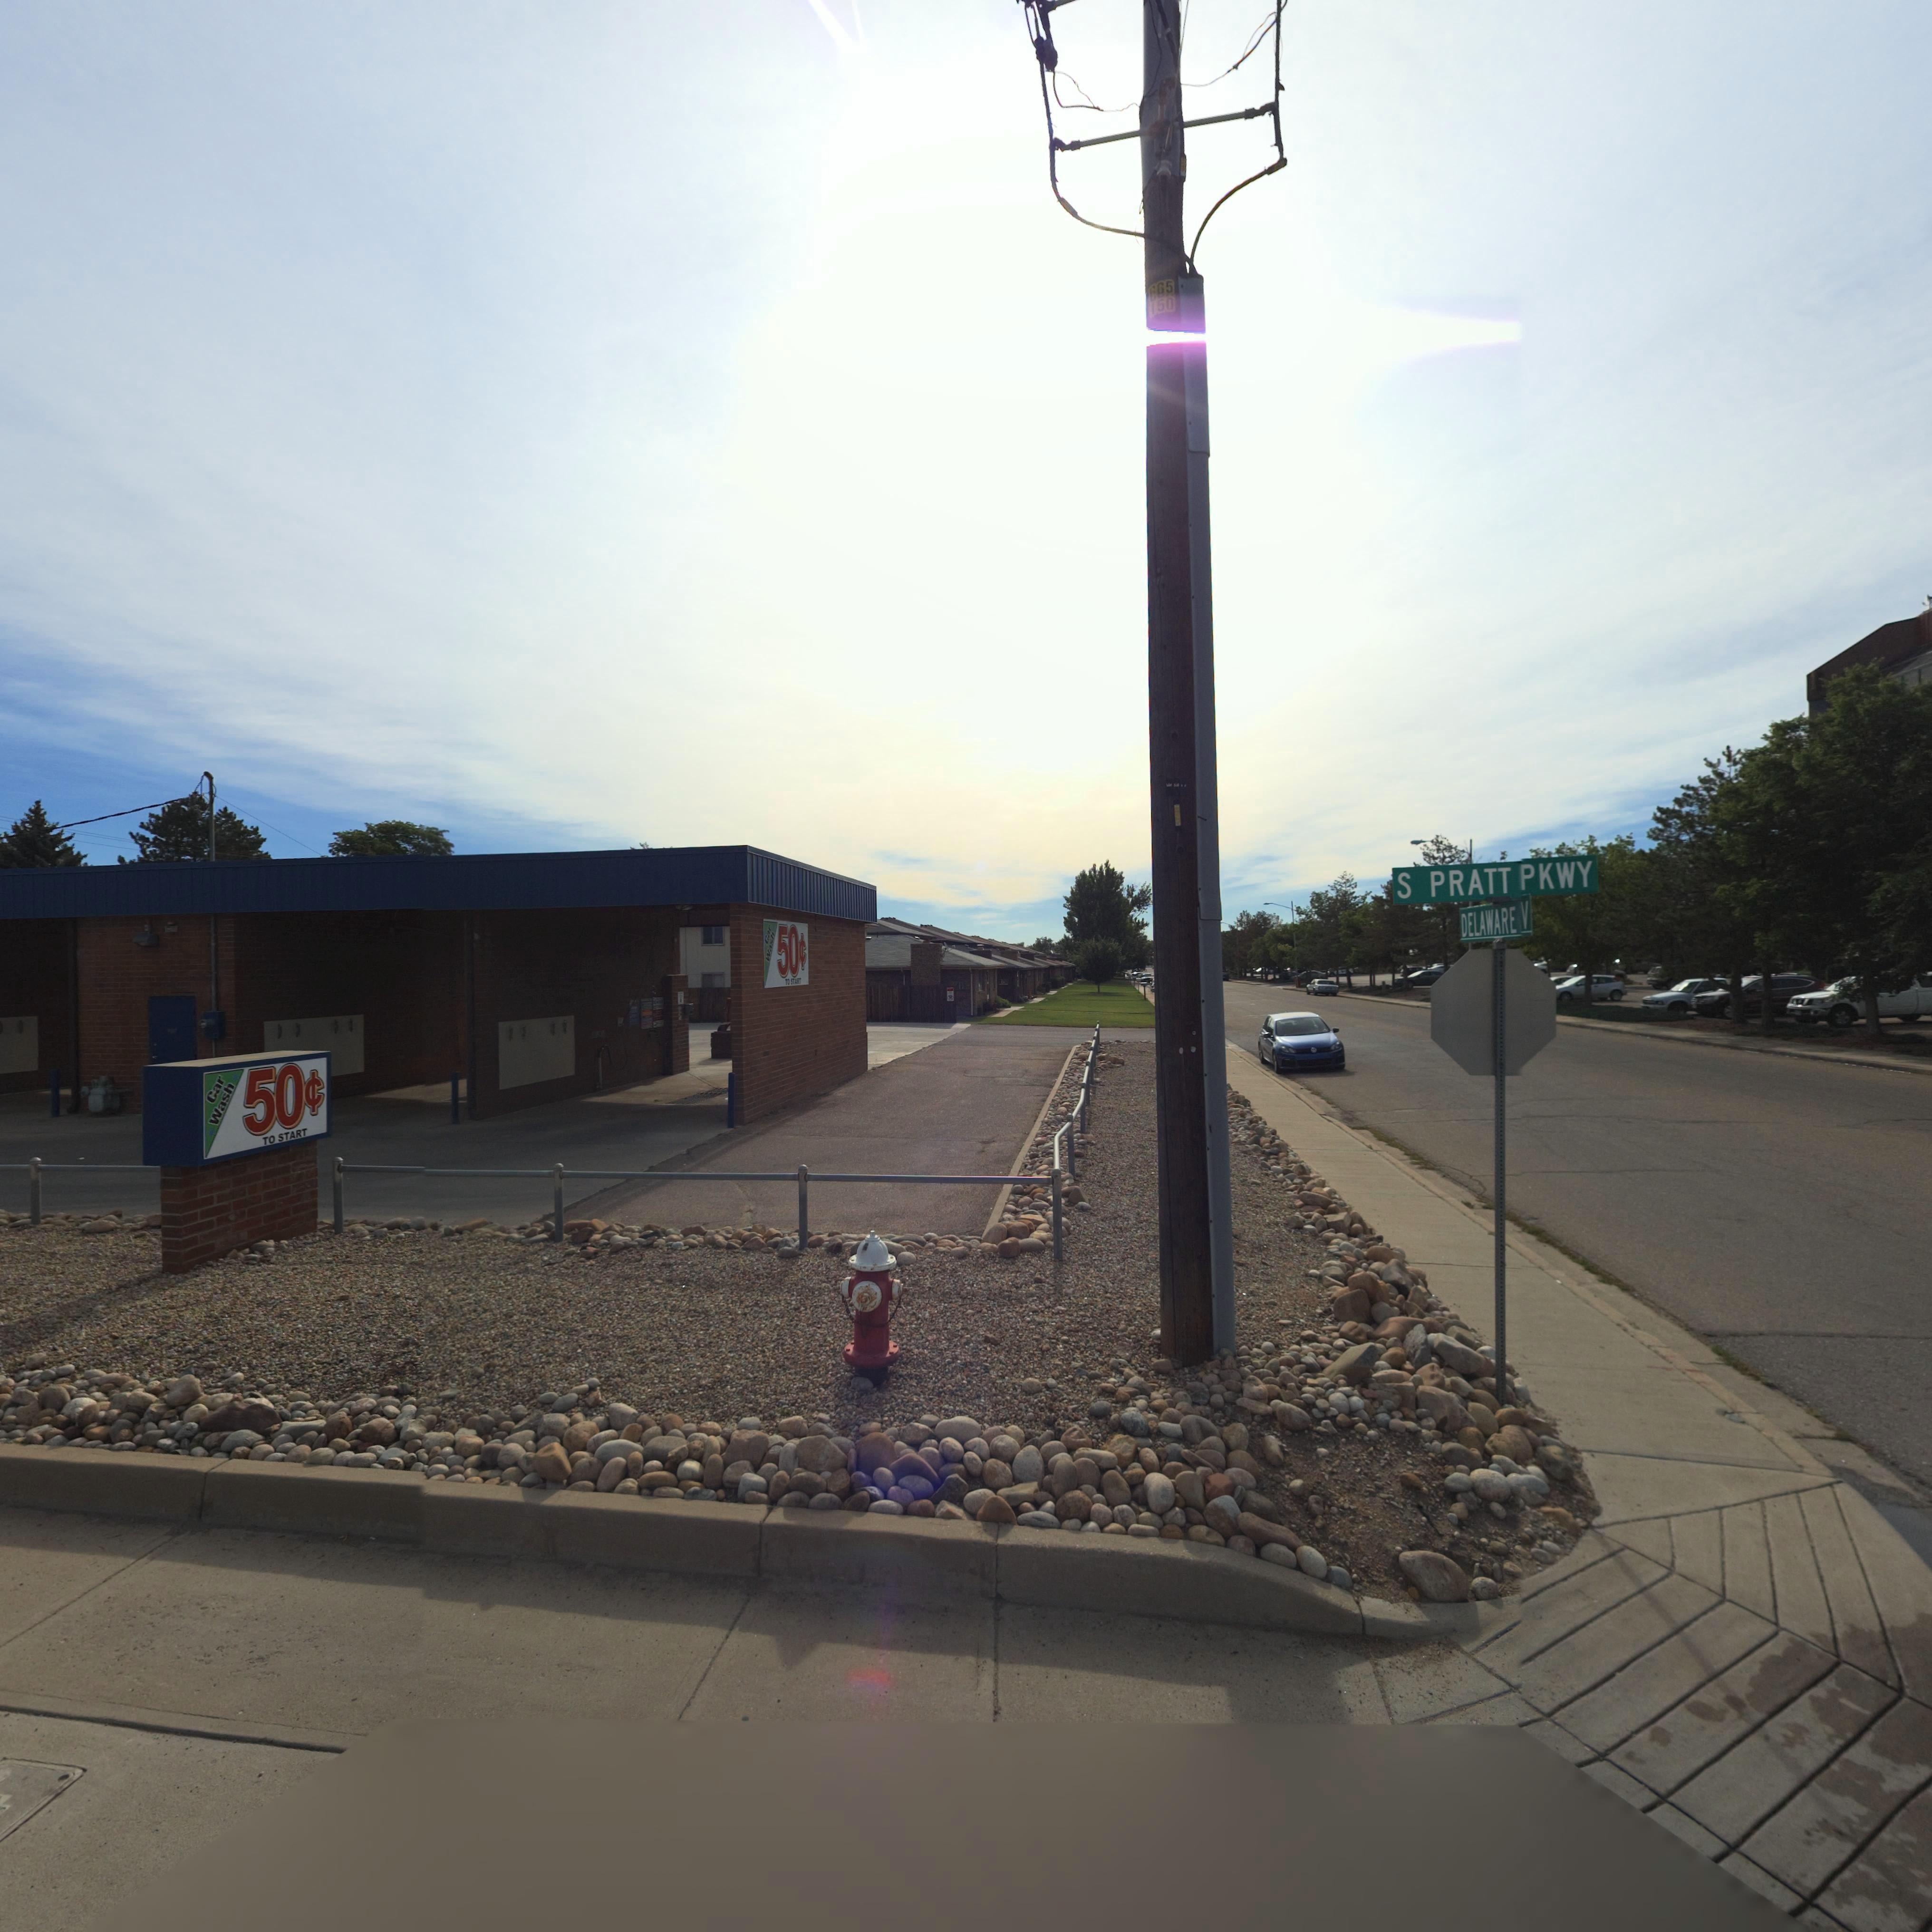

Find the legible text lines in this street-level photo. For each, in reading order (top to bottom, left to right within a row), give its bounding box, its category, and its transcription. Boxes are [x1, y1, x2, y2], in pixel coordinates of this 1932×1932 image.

[1395, 858, 1595, 901] StreetName: S PRATT PKWY
[1459, 898, 1530, 938] StreetName: DELAWARE AV